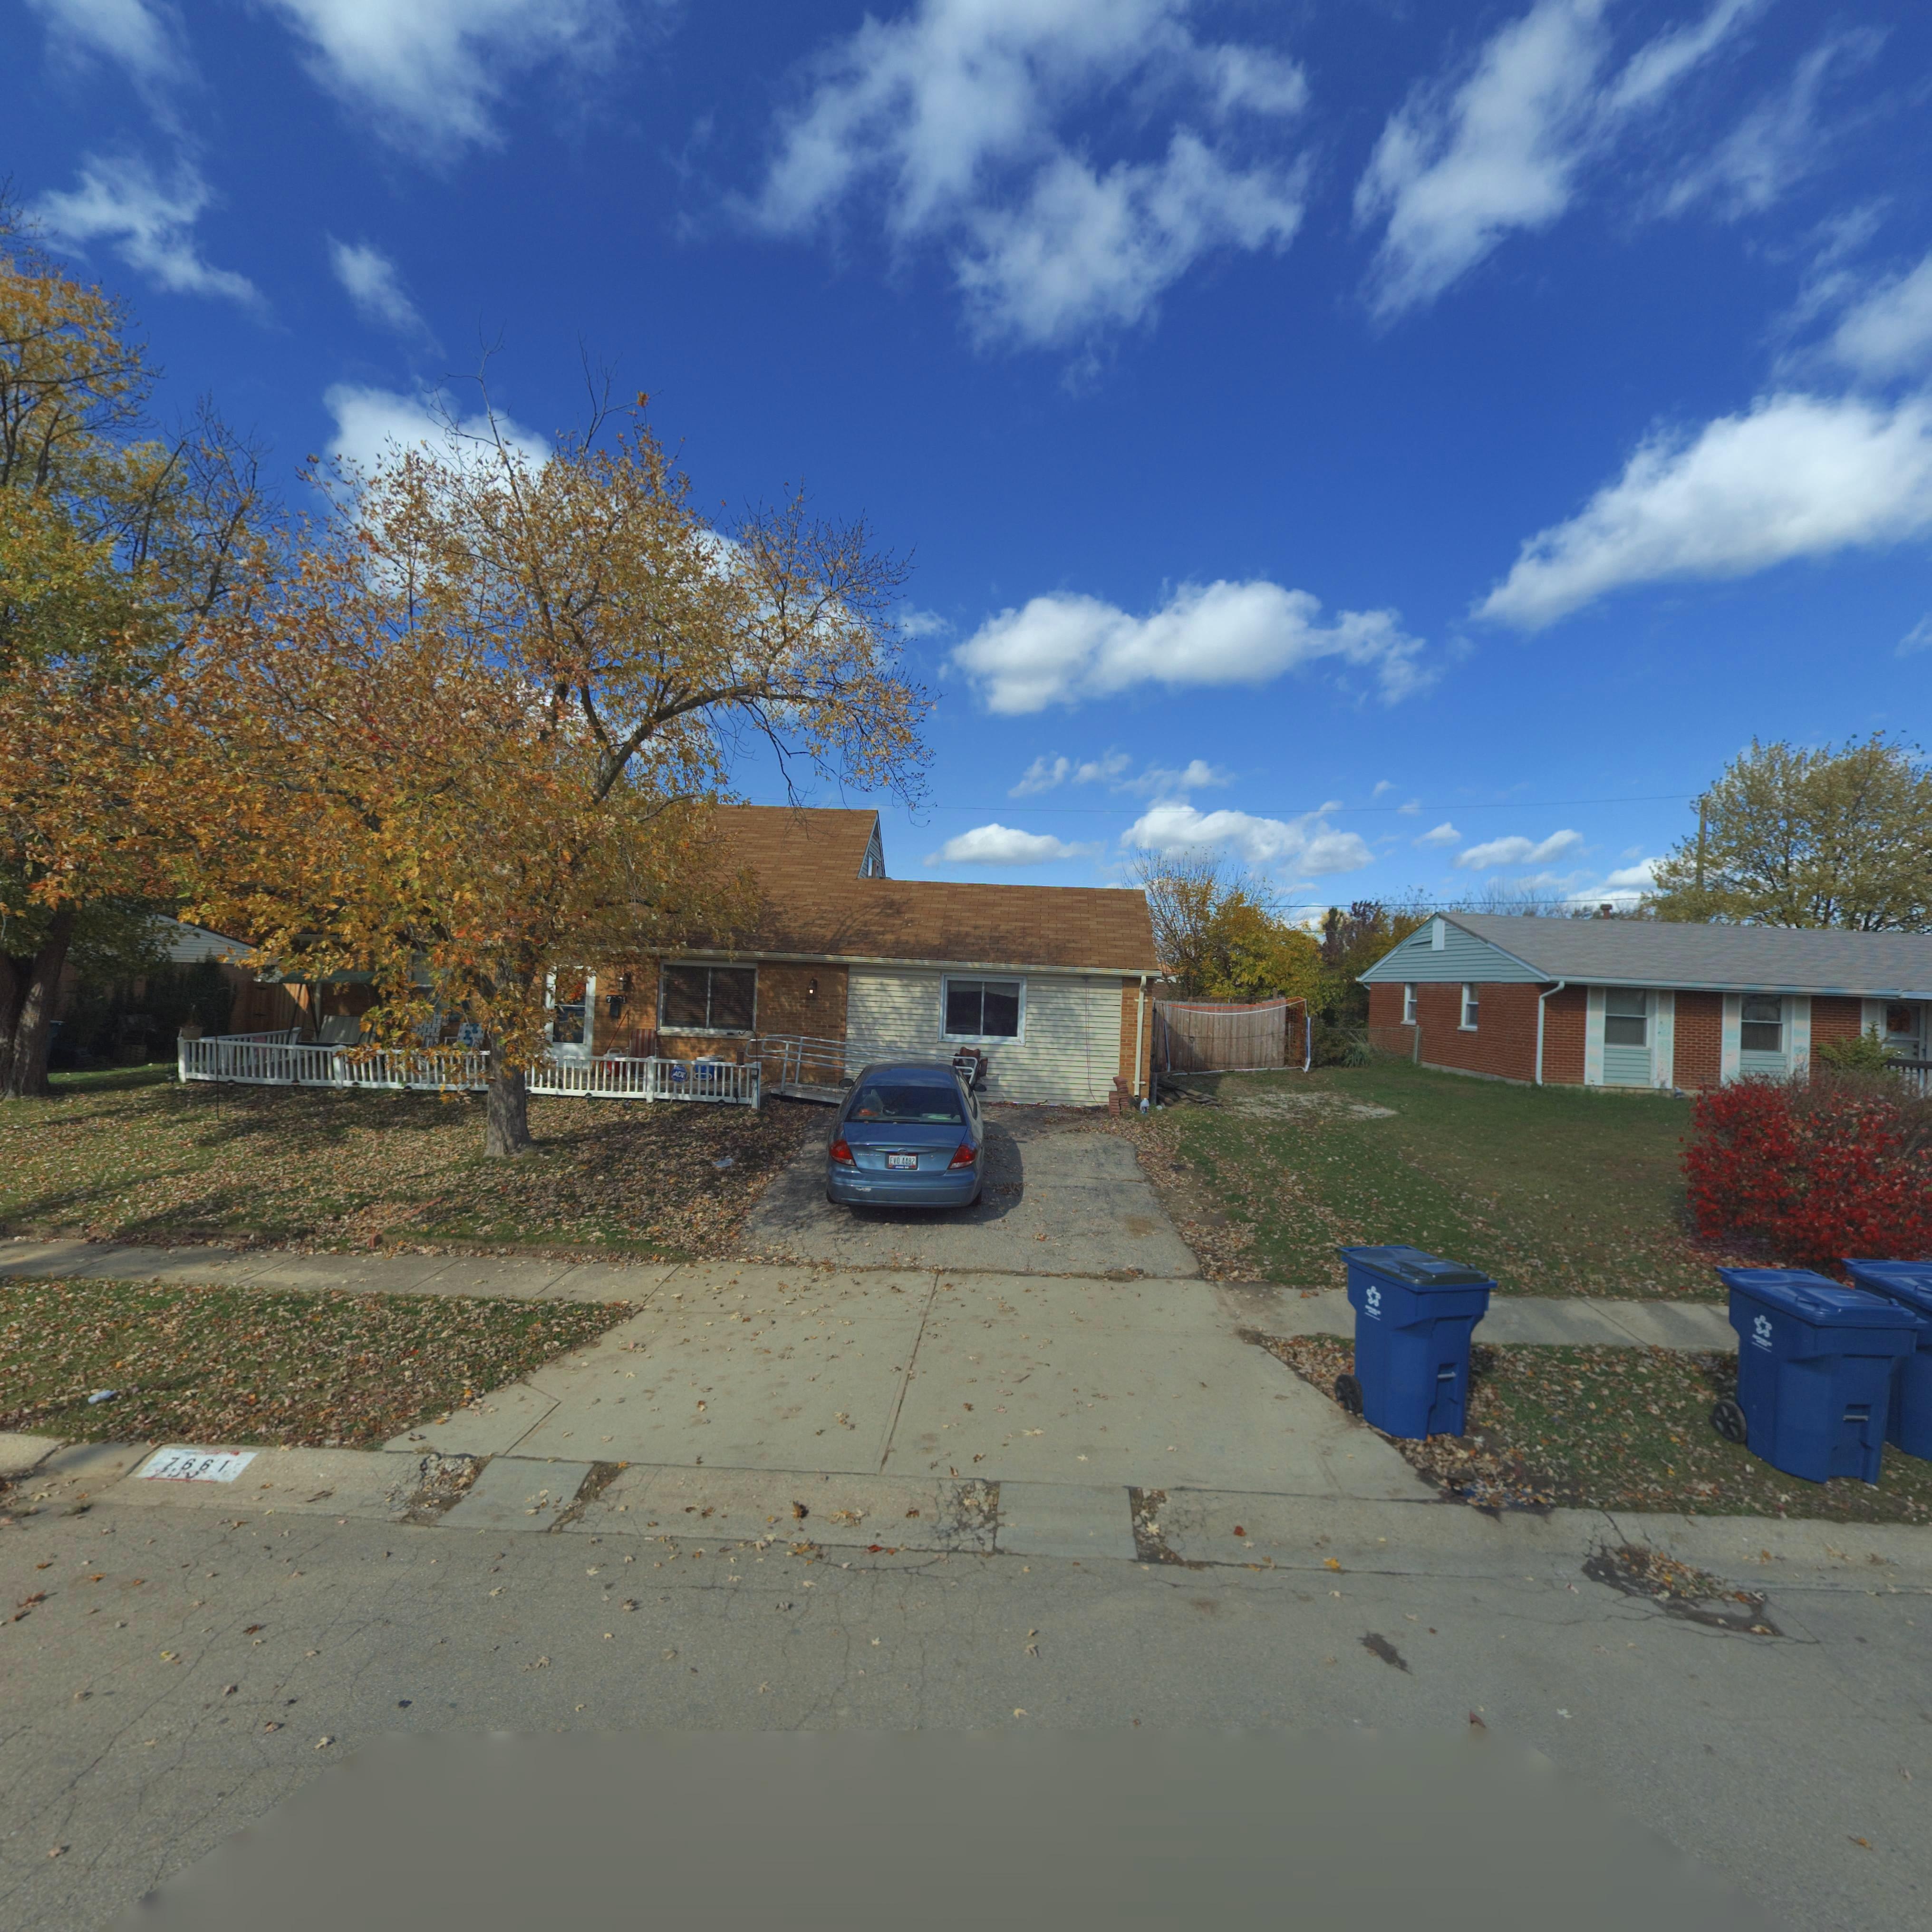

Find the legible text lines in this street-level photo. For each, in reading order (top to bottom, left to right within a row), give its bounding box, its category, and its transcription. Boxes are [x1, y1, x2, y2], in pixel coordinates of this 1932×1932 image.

[606, 995, 627, 1004] StreetNumber: 7**1
[161, 1456, 232, 1473] StreetNumber: 7661